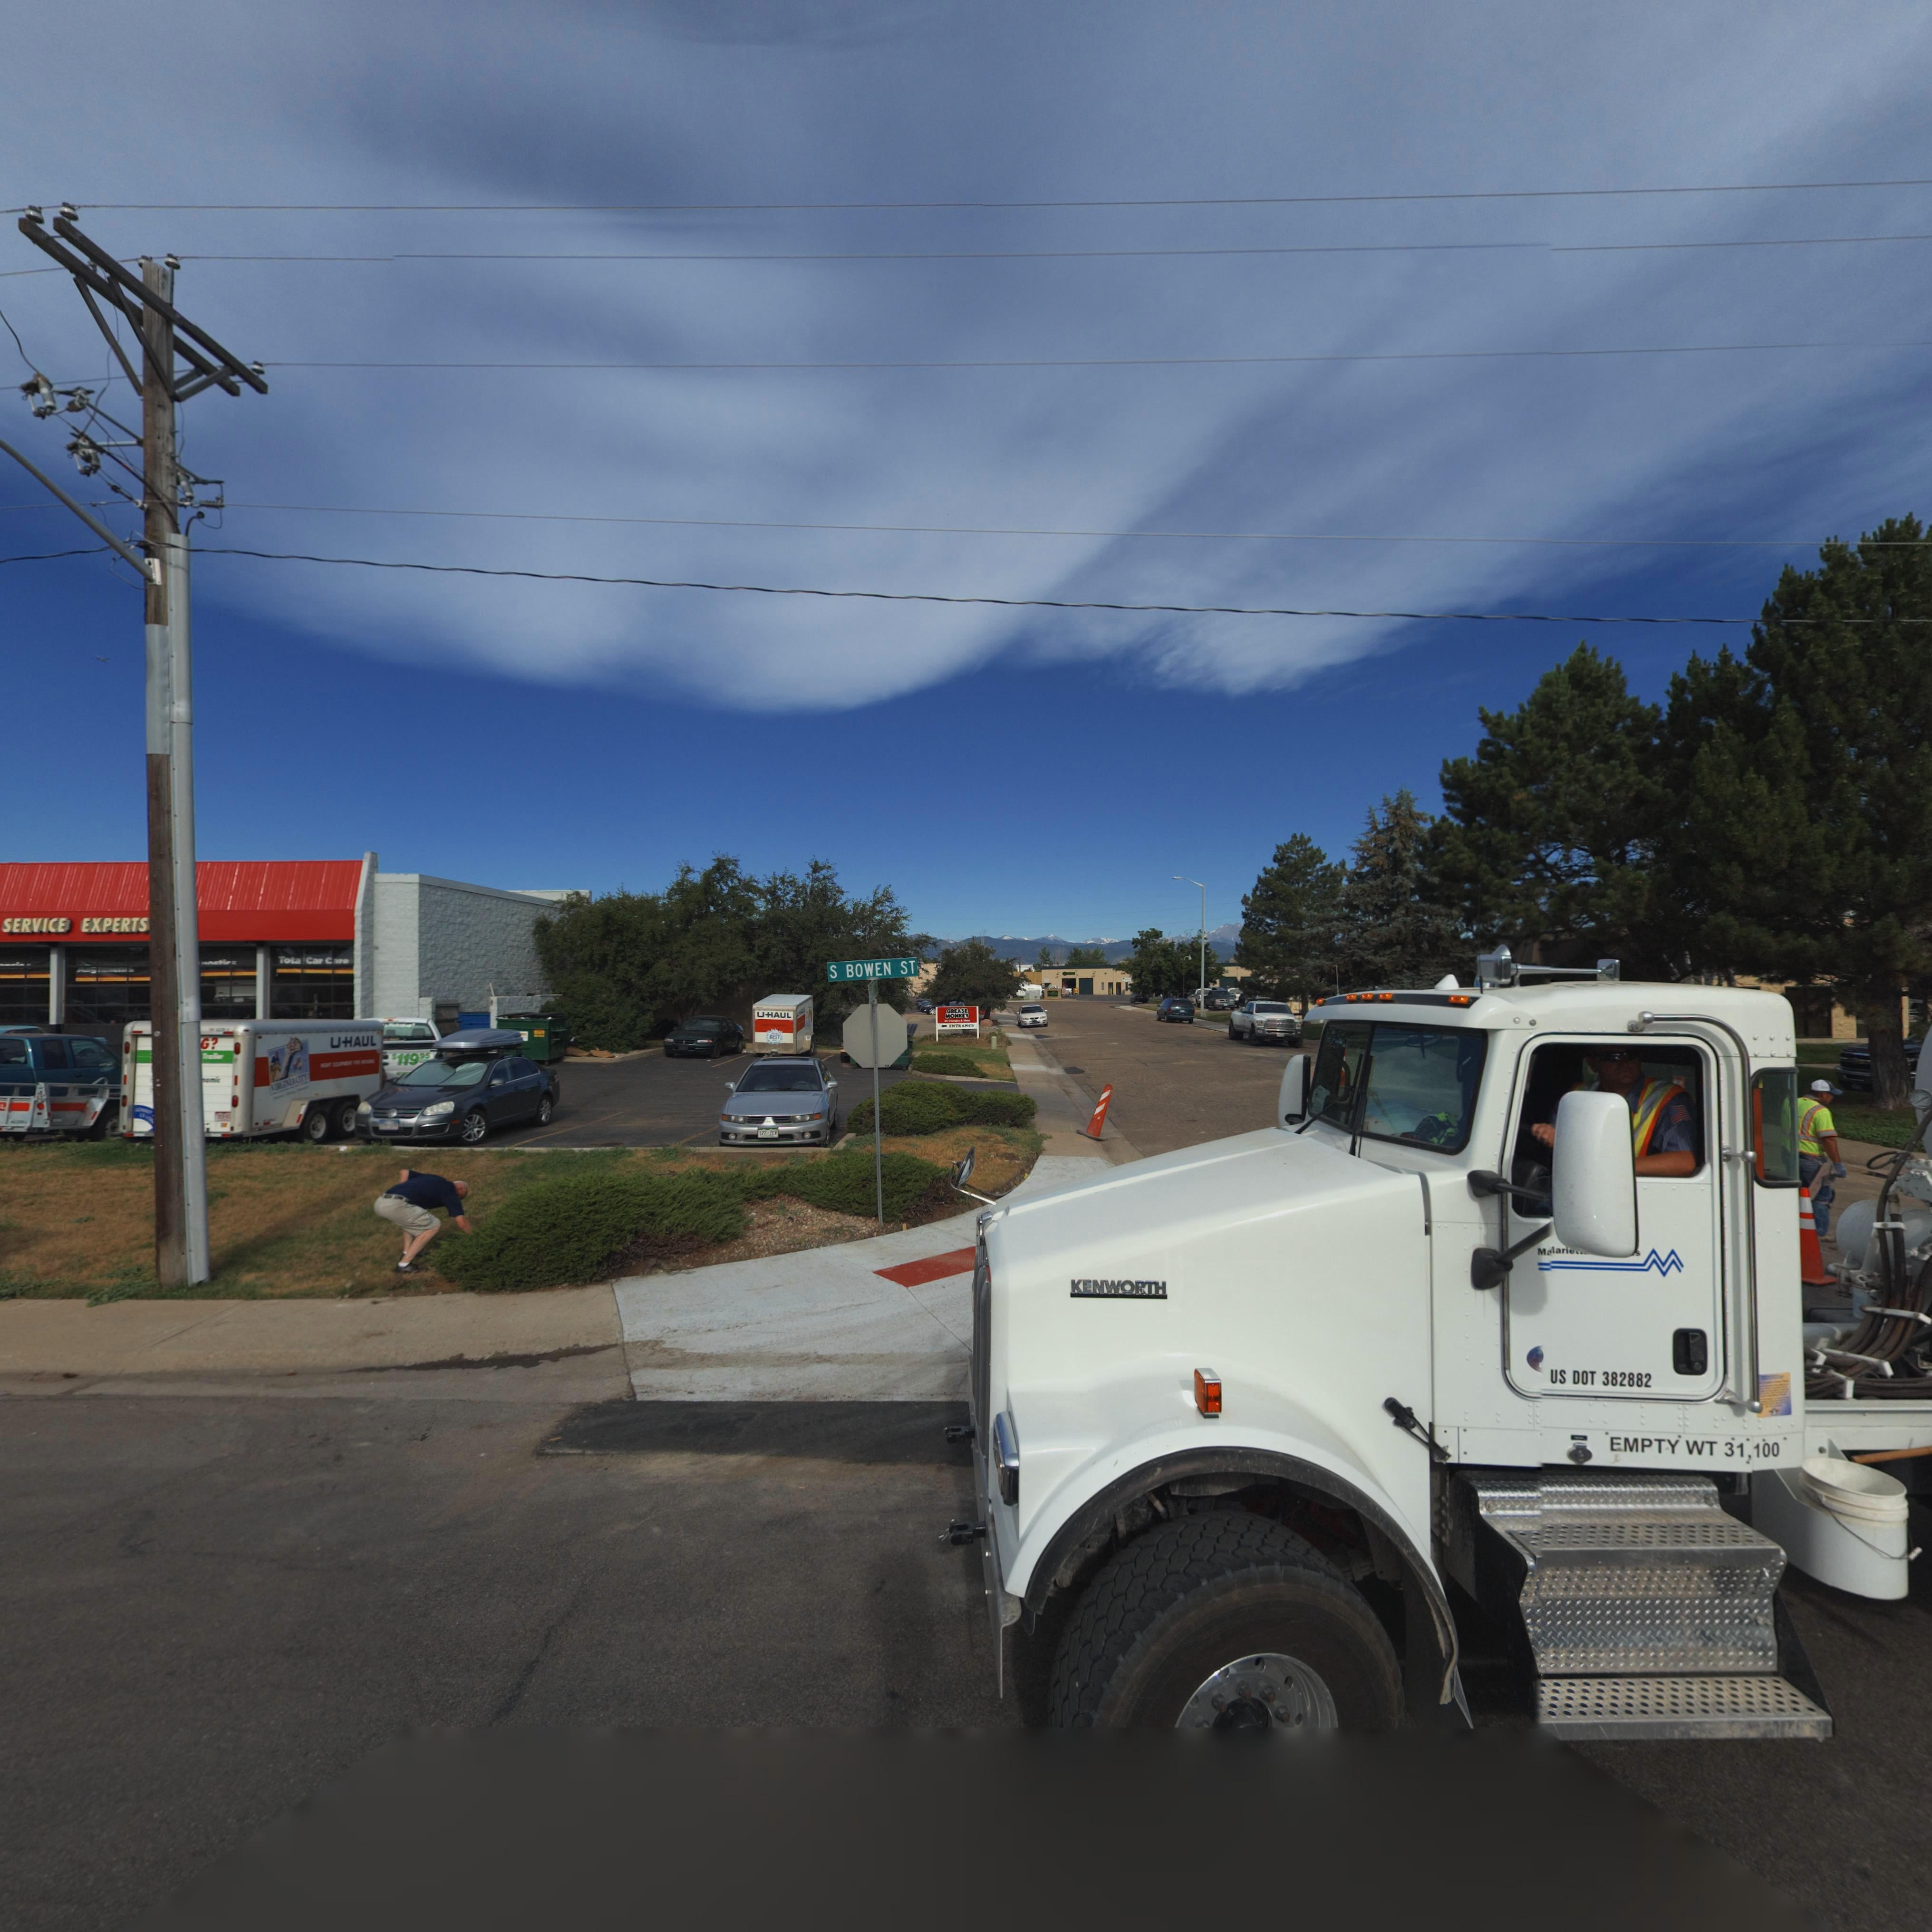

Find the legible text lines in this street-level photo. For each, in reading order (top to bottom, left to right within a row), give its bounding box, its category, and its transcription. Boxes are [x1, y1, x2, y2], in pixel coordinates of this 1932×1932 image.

[829, 959, 916, 979] StreetName: S BOWEN ST
[947, 1008, 968, 1013] BusinessName: GREASE
[945, 1013, 969, 1018] BusinessName: MONKEY